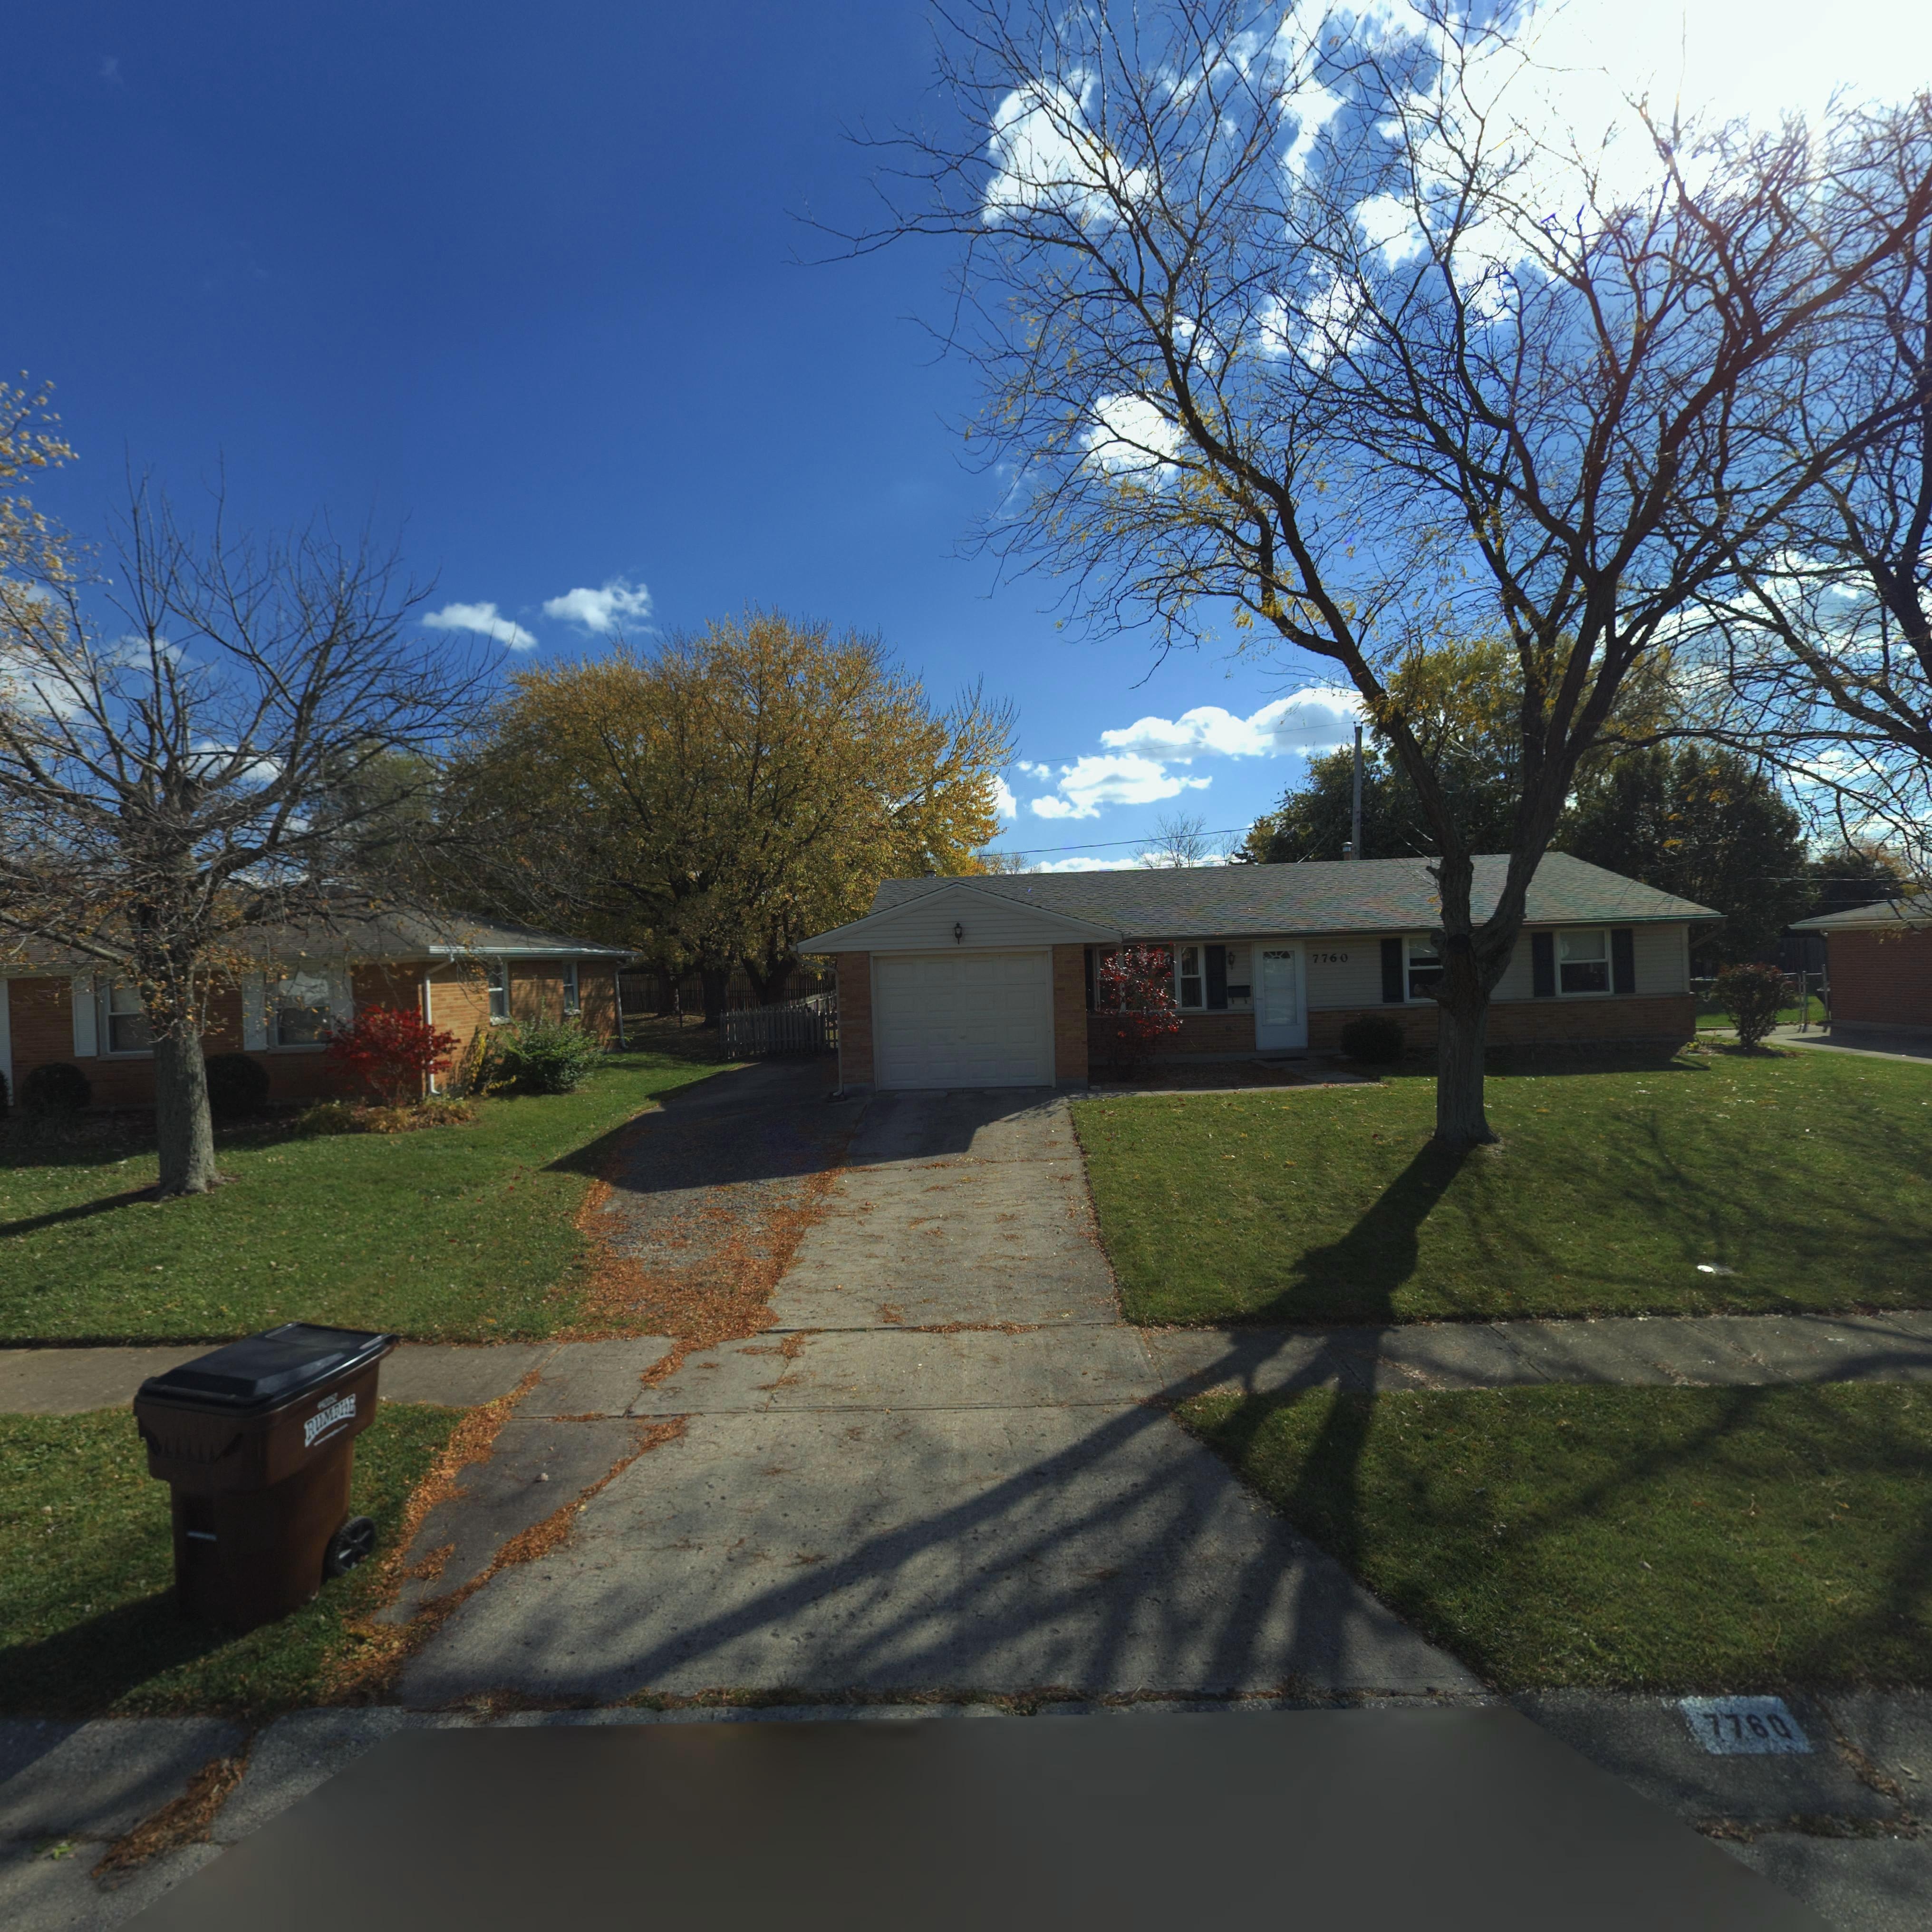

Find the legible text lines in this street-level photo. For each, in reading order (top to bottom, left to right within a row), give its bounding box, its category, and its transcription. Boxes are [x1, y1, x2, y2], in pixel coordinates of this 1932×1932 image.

[1312, 953, 1349, 964] StreetNumber: 7760
[1701, 1712, 1793, 1740] StreetNumber: 7760